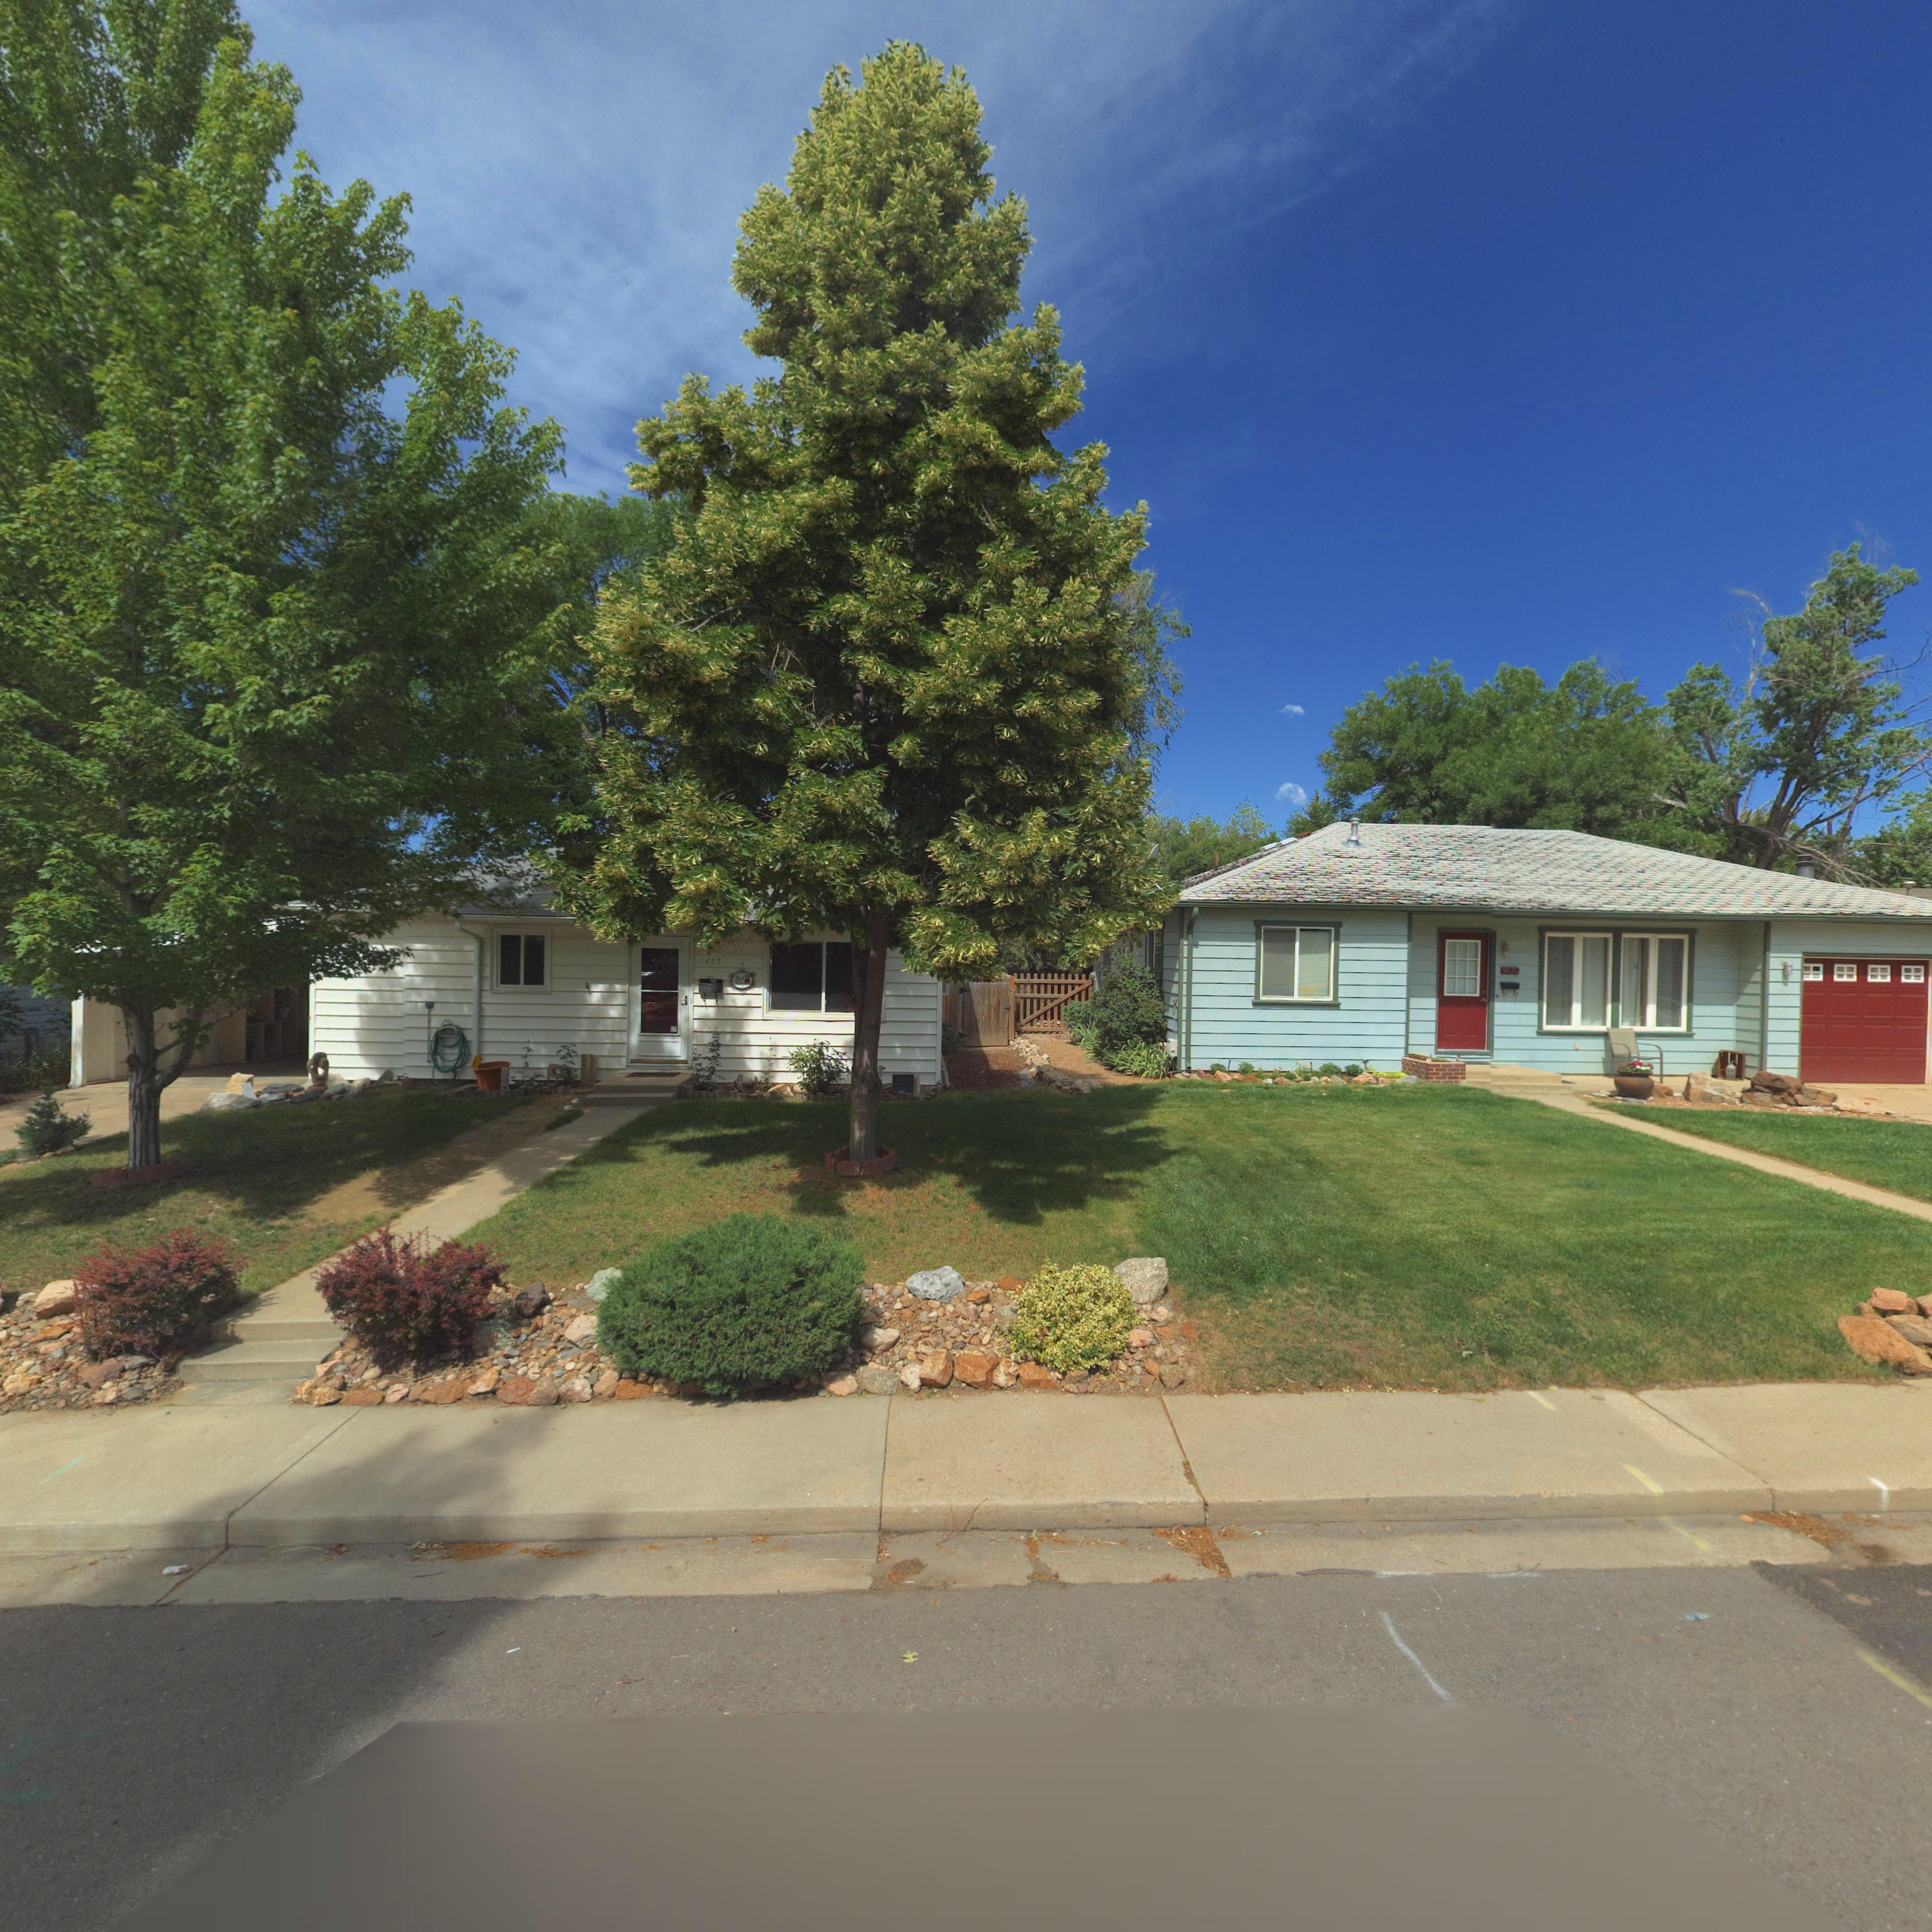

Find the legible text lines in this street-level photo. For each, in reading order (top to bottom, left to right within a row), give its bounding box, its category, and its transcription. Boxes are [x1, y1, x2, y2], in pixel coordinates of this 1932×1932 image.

[699, 957, 721, 965] StreetNumber: 1433
[1502, 966, 1519, 975] StreetNumber: 14**